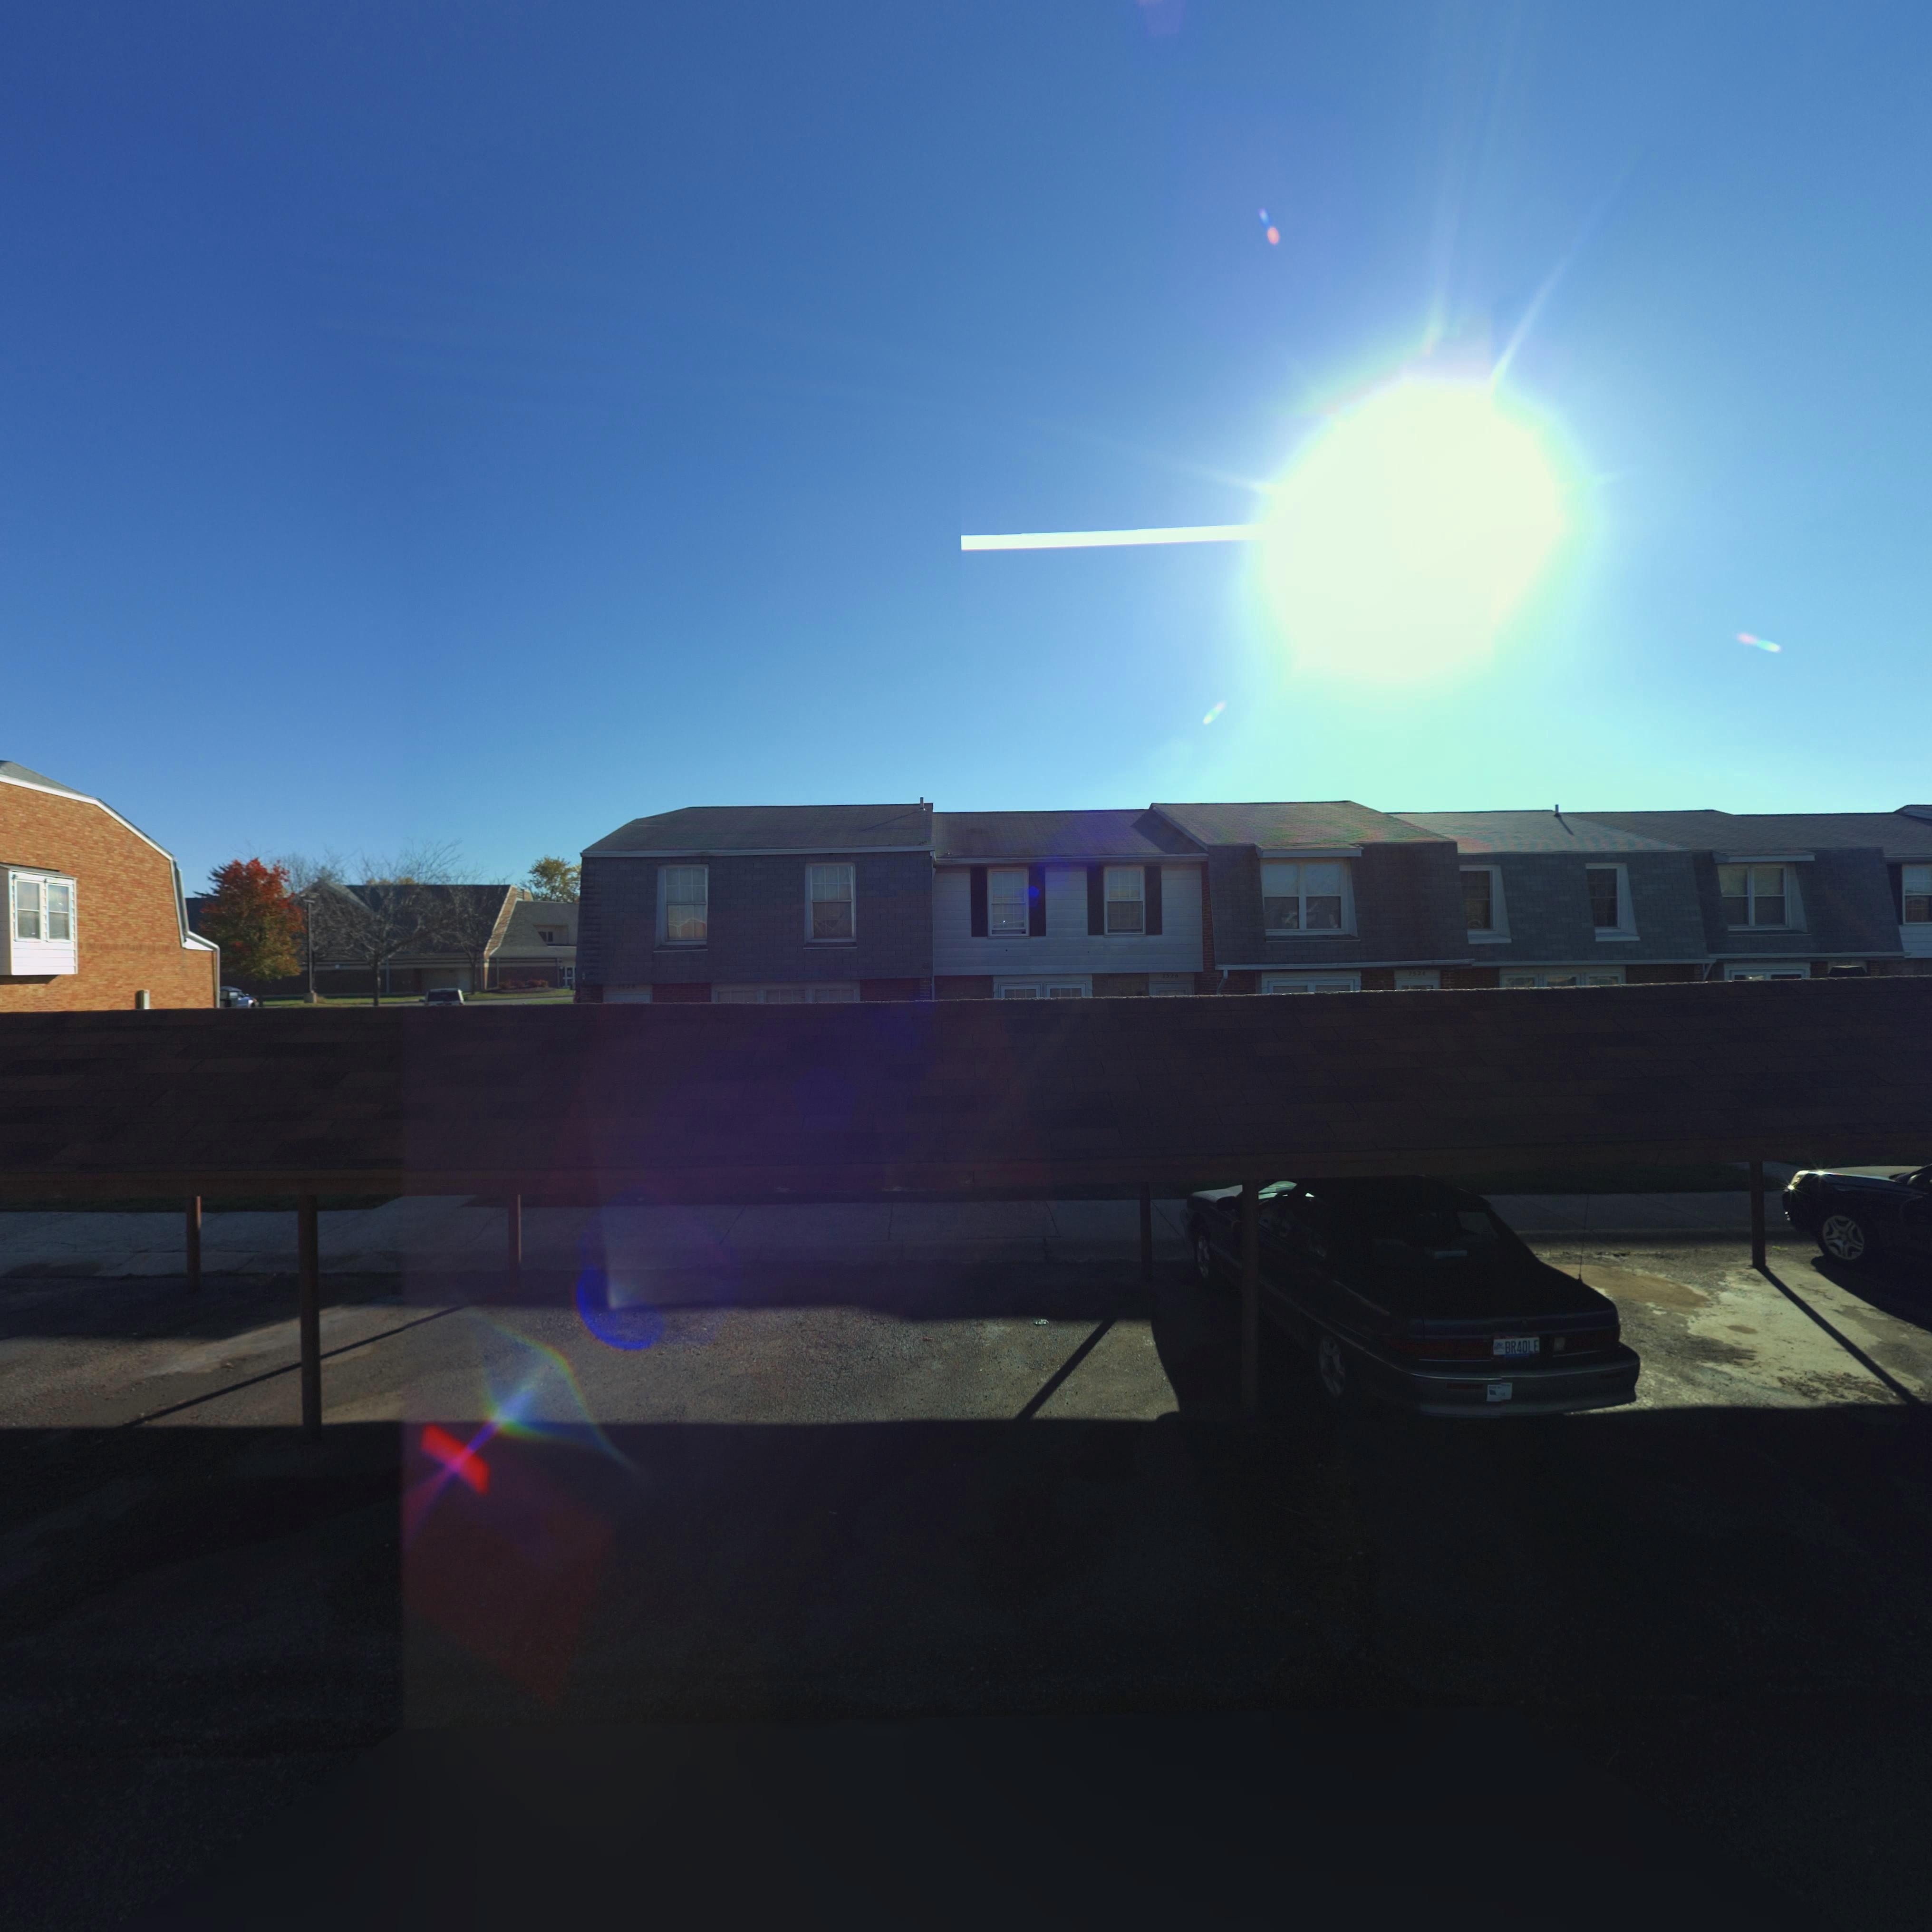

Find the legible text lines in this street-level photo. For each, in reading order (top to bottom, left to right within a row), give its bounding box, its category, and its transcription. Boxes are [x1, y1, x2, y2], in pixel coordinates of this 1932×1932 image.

[1835, 961, 1852, 966] StreetNumber: 752*
[1162, 973, 1179, 978] StreetNumber: 7526
[1408, 970, 1426, 976] StreetNumber: 7524
[617, 983, 636, 989] StreetNumber: 7528